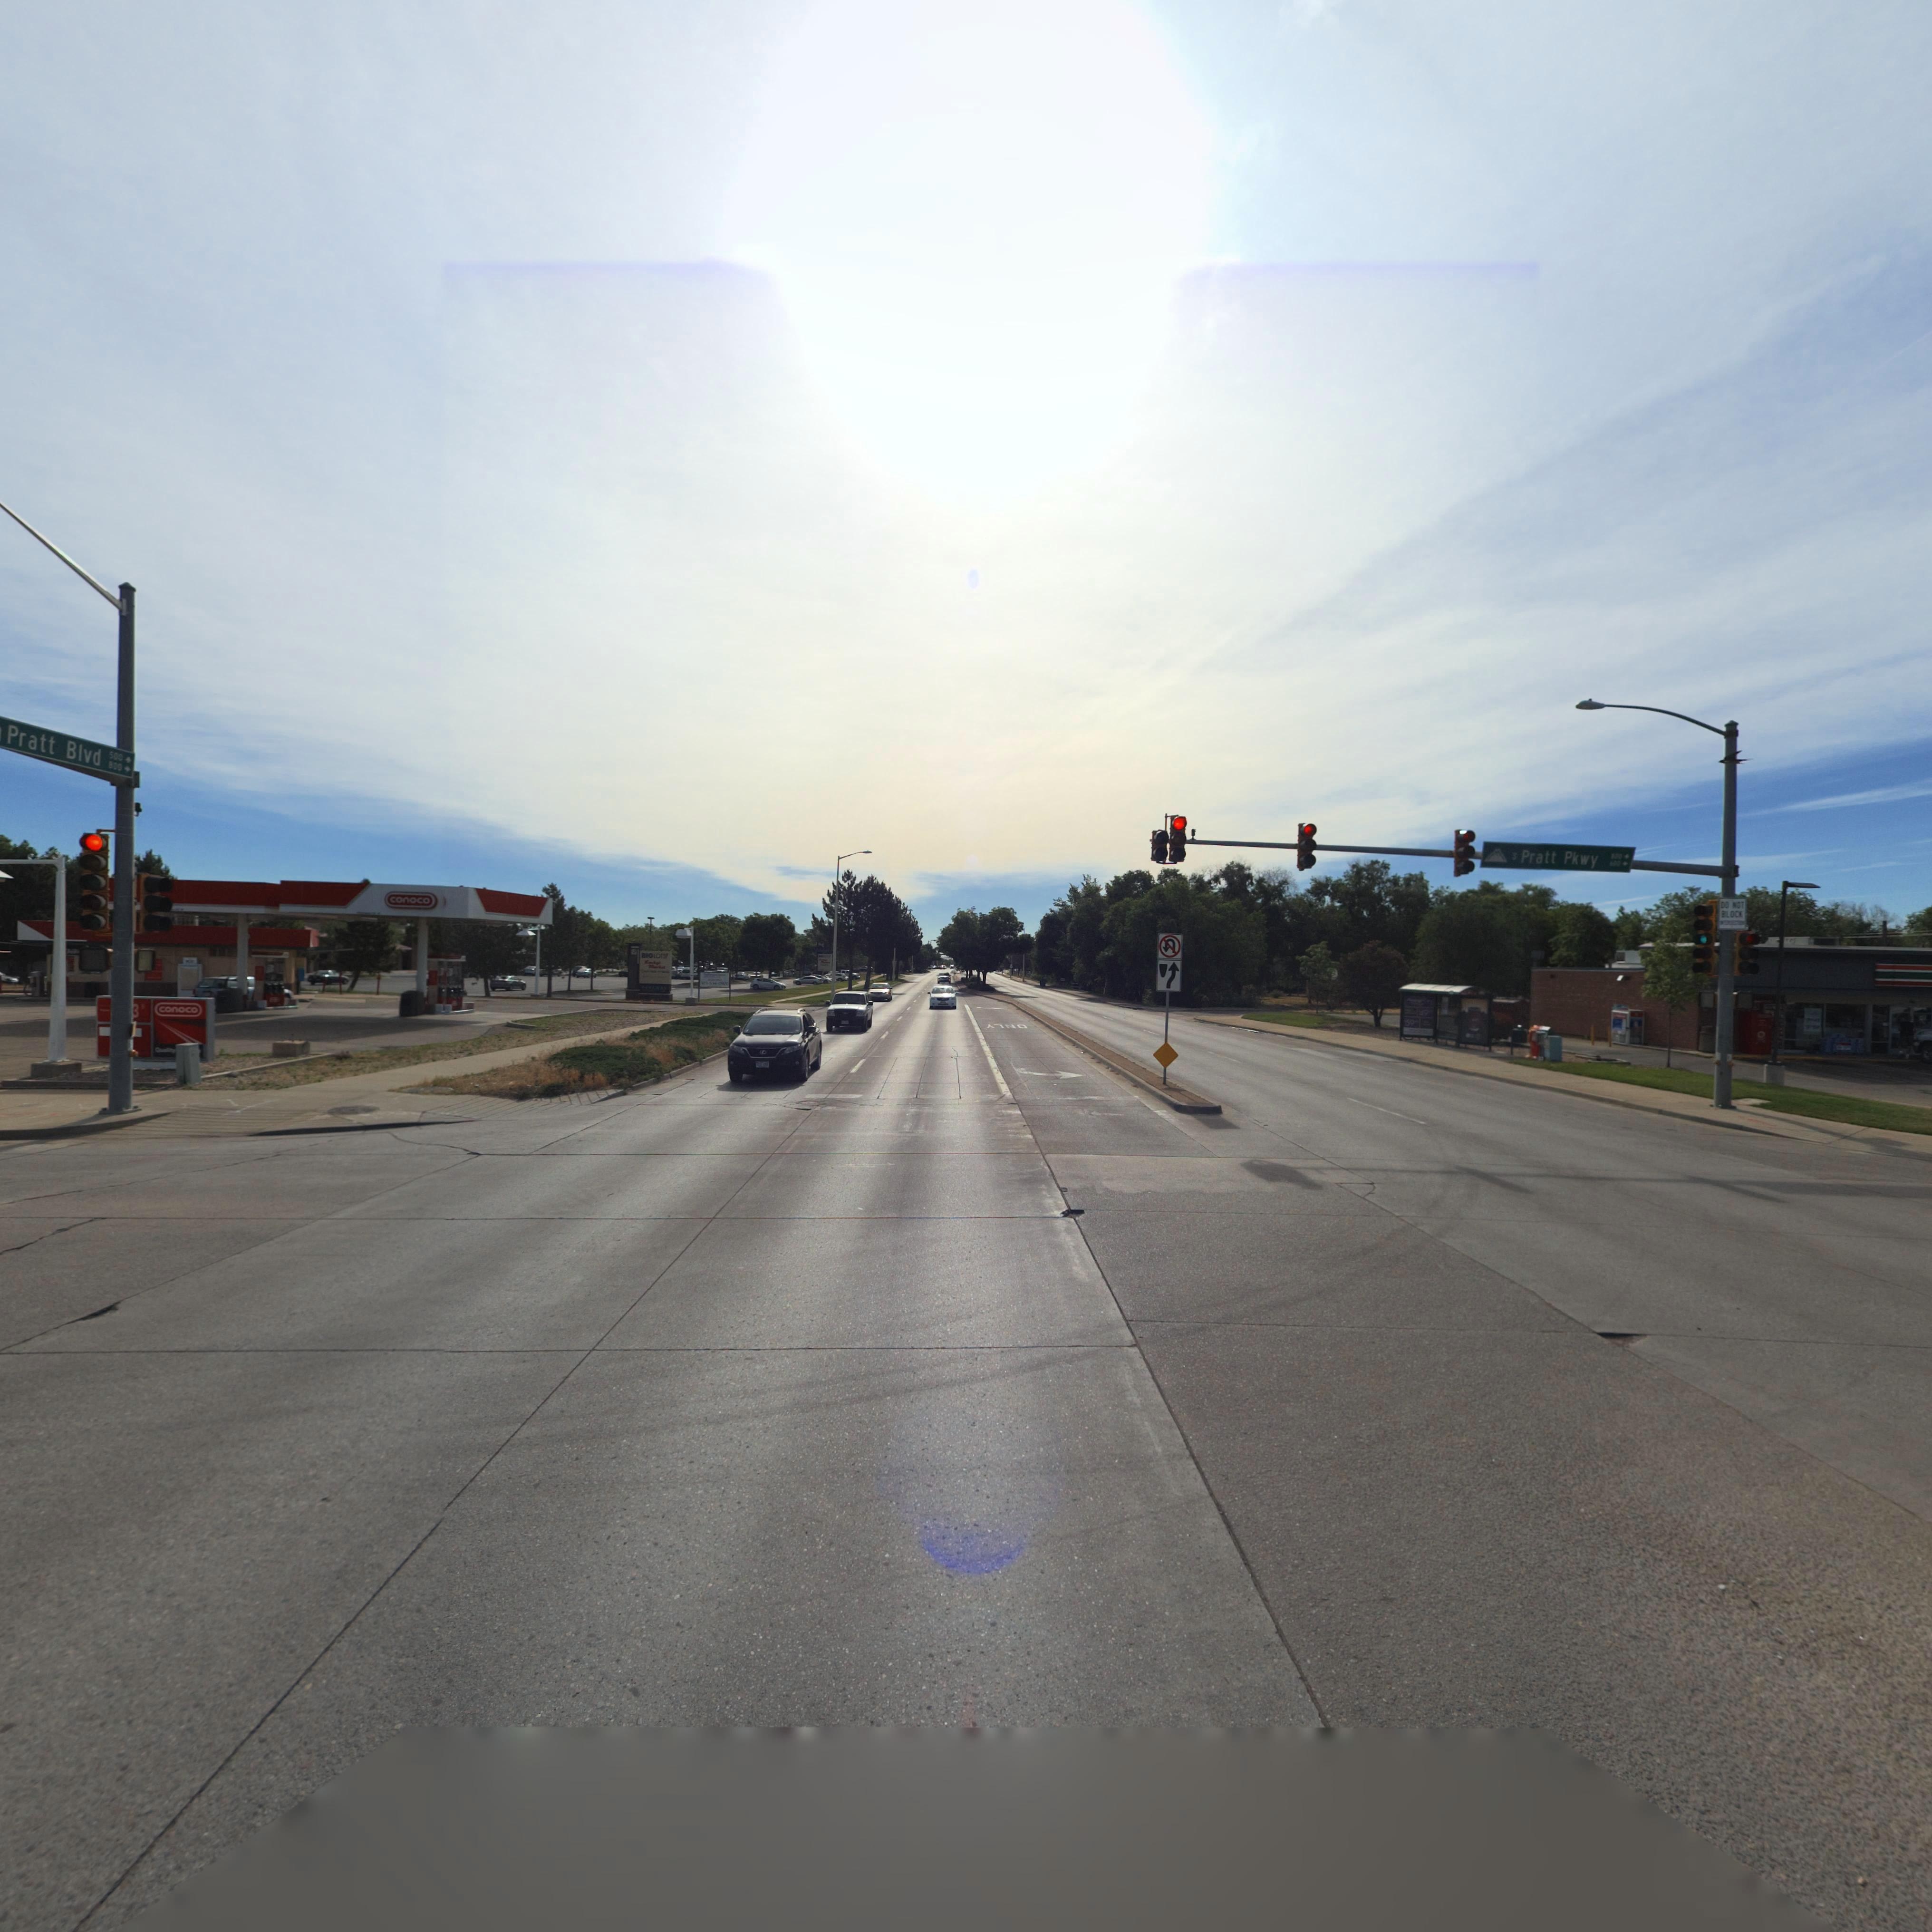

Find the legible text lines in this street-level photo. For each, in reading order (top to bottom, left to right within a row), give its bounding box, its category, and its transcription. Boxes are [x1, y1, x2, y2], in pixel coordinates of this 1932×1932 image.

[5, 722, 104, 768] StreetName: Pratt Blvd
[108, 749, 123, 762] StreetNumberRange: 500
[107, 760, 131, 773] StreetNumberRange: 800->
[1511, 849, 1600, 869] StreetName: S Pratt Pkwy
[1610, 853, 1623, 860] StreetNumberRange: 800
[1609, 860, 1628, 867] StreetNumberRange: 600->
[389, 896, 430, 904] BusinessName: conoco
[640, 952, 669, 958] BusinessName: BIG LOTS*
[158, 1006, 198, 1014] BusinessName: conoco